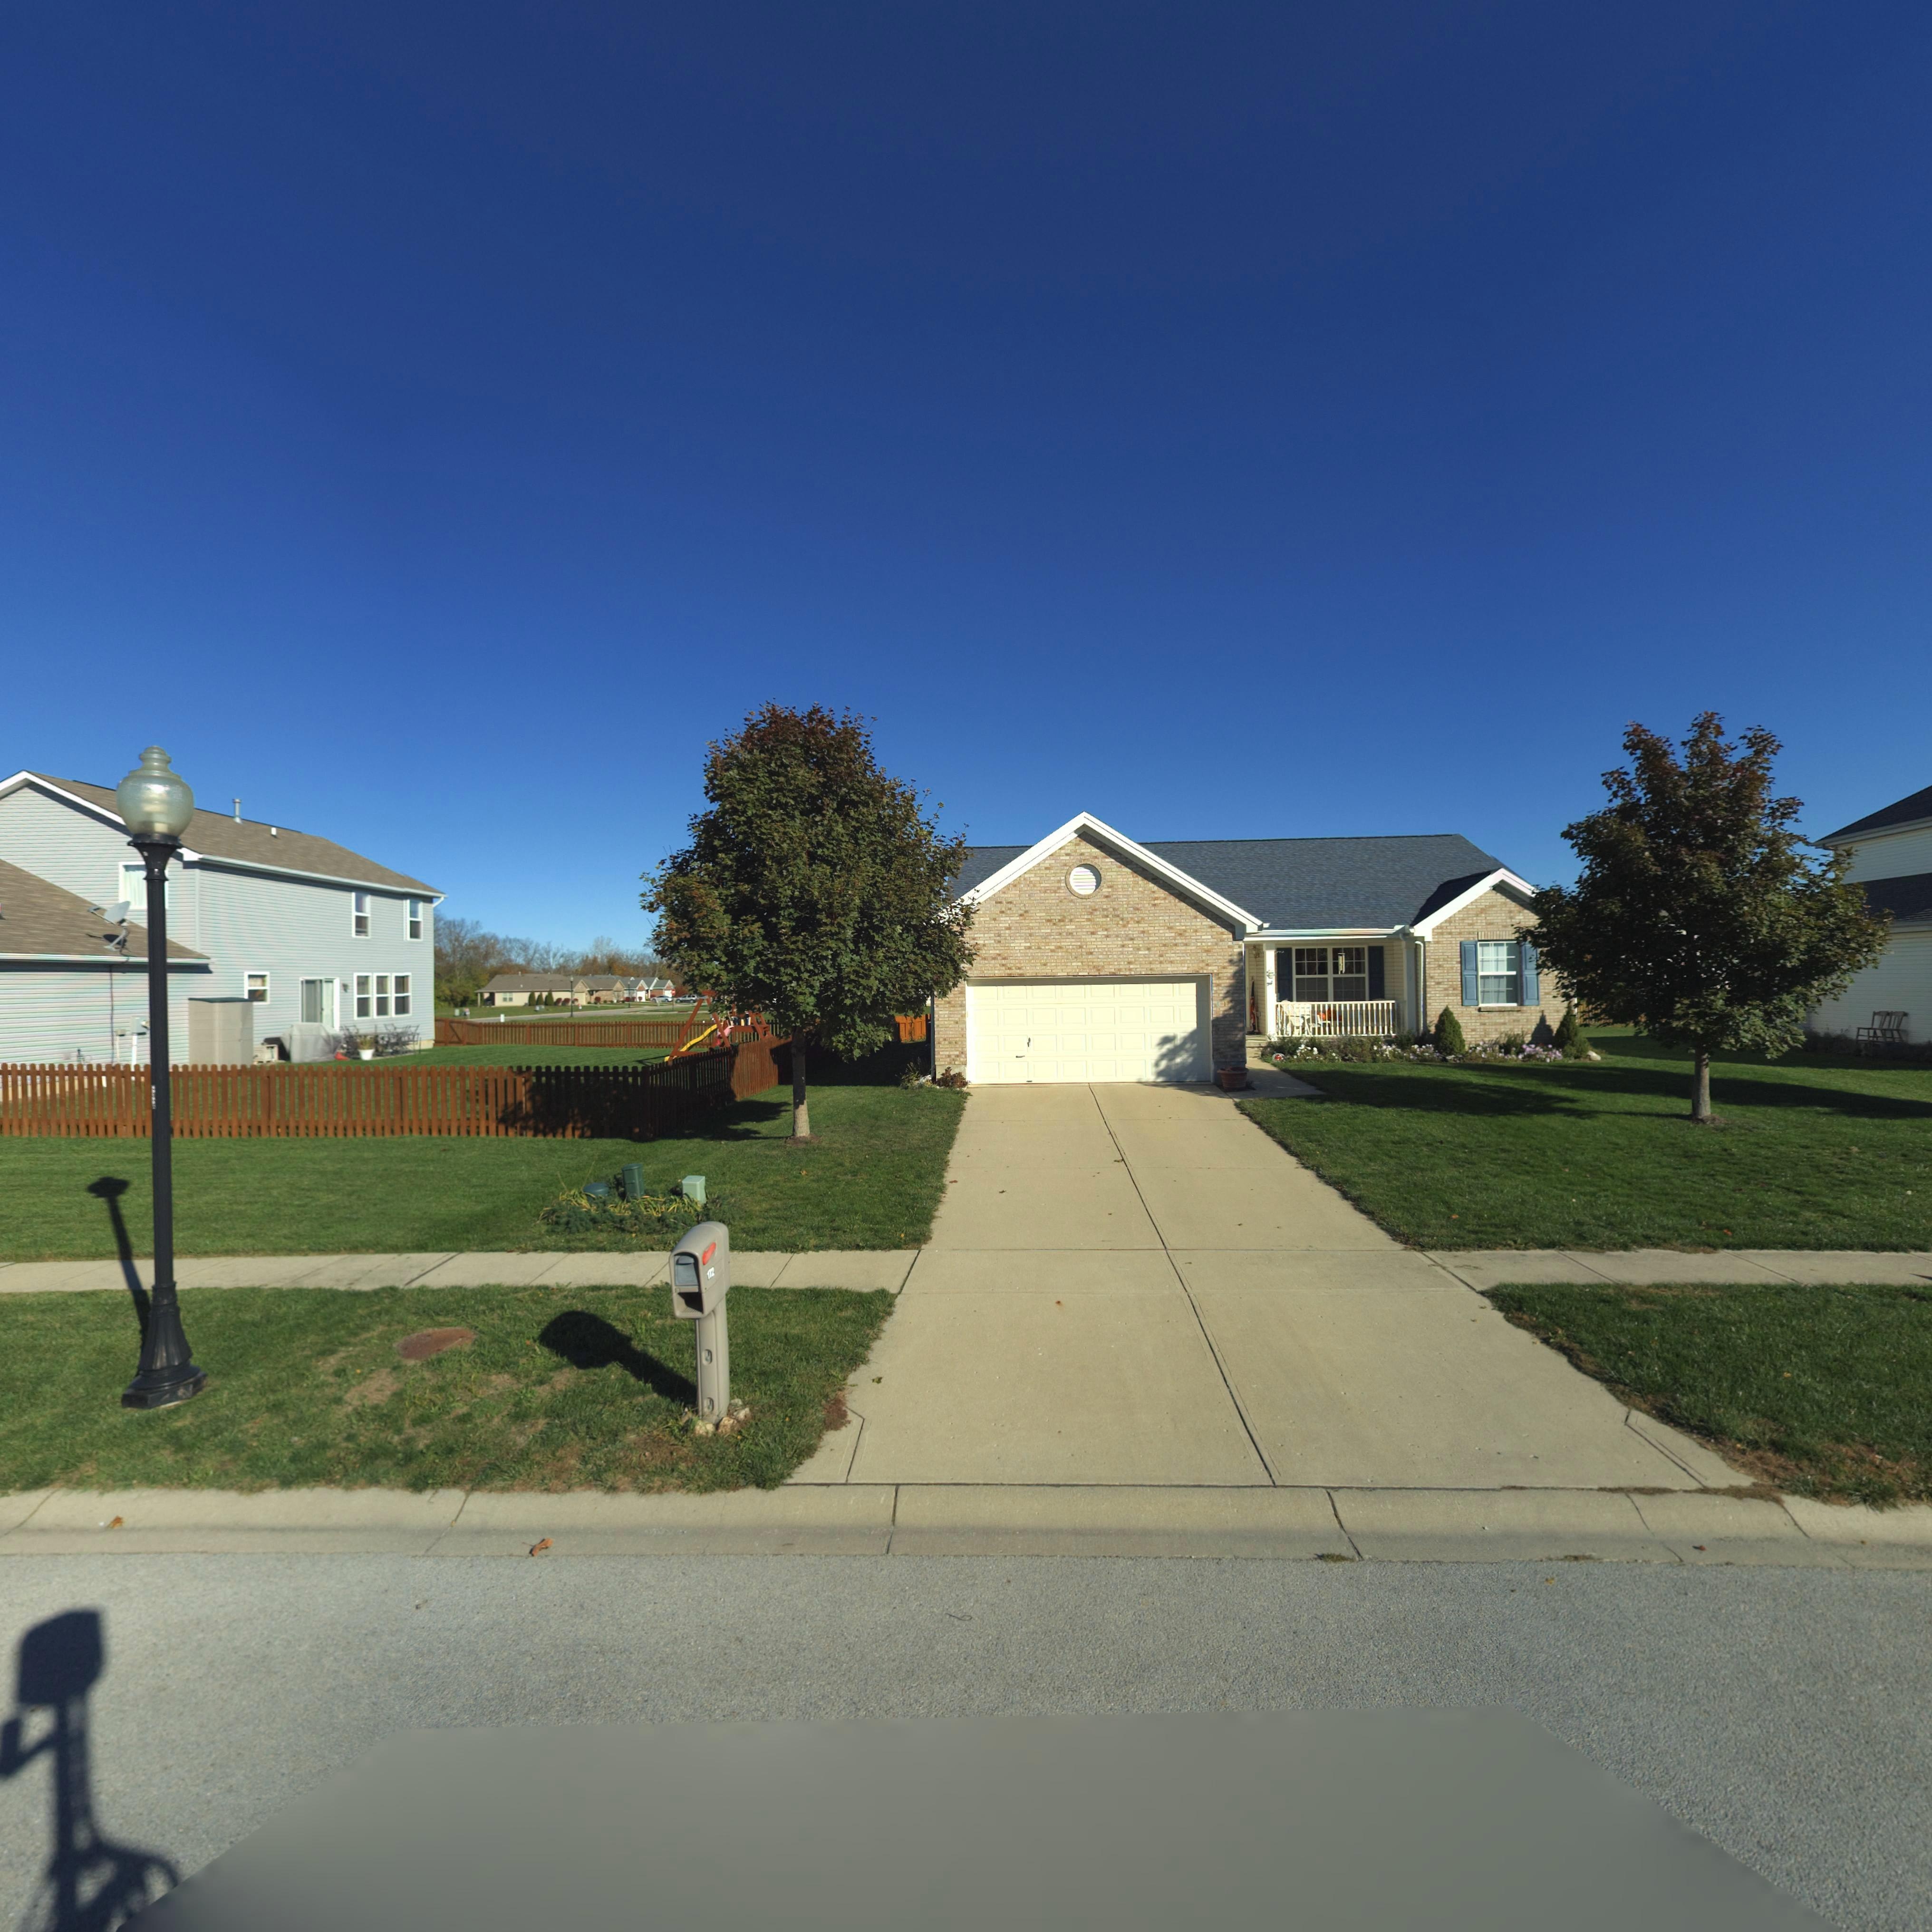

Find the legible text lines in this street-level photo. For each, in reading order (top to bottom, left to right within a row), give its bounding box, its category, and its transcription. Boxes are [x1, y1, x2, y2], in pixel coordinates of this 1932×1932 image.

[706, 1265, 715, 1280] StreetNumber: 172